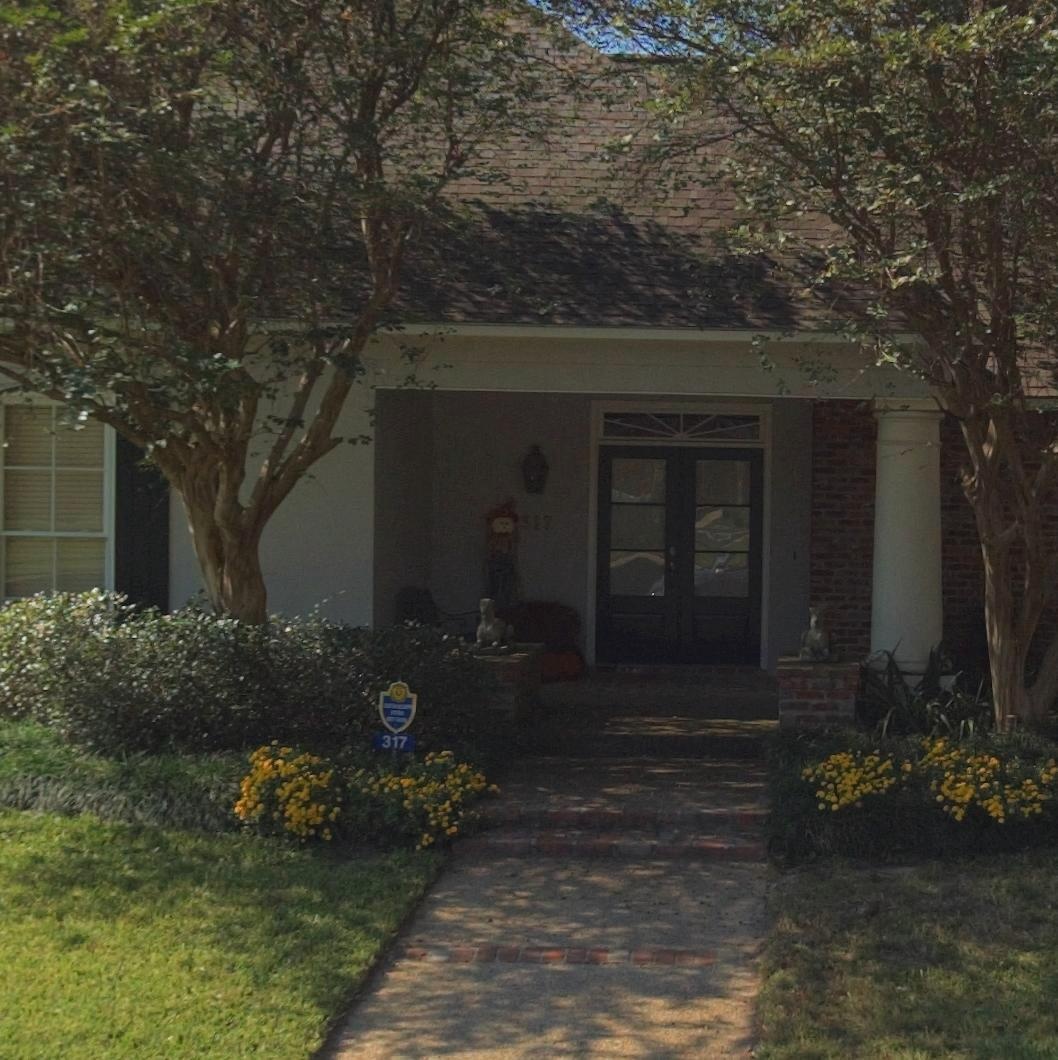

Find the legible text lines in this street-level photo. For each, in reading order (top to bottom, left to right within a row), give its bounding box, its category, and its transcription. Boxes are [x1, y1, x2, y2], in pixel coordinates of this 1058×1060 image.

[519, 514, 553, 531] StreetNumber: 317
[380, 734, 408, 749] StreetNumber: 317